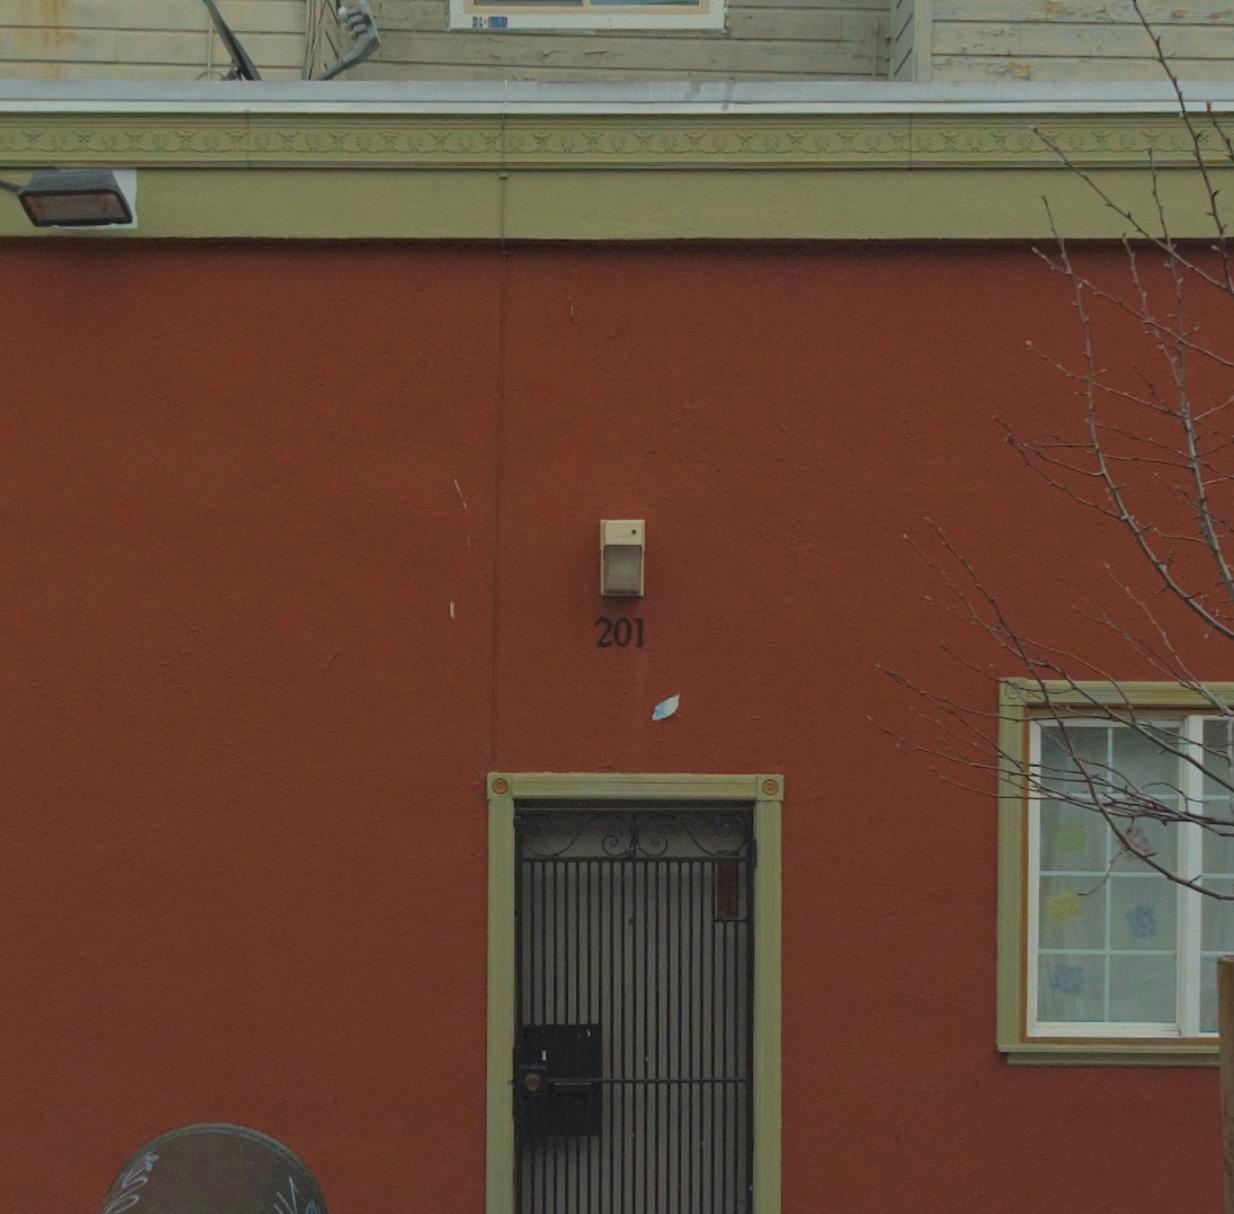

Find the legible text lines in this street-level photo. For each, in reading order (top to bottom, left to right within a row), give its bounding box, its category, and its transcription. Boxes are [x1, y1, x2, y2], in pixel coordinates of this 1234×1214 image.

[593, 615, 646, 650] StreetNumber: 201